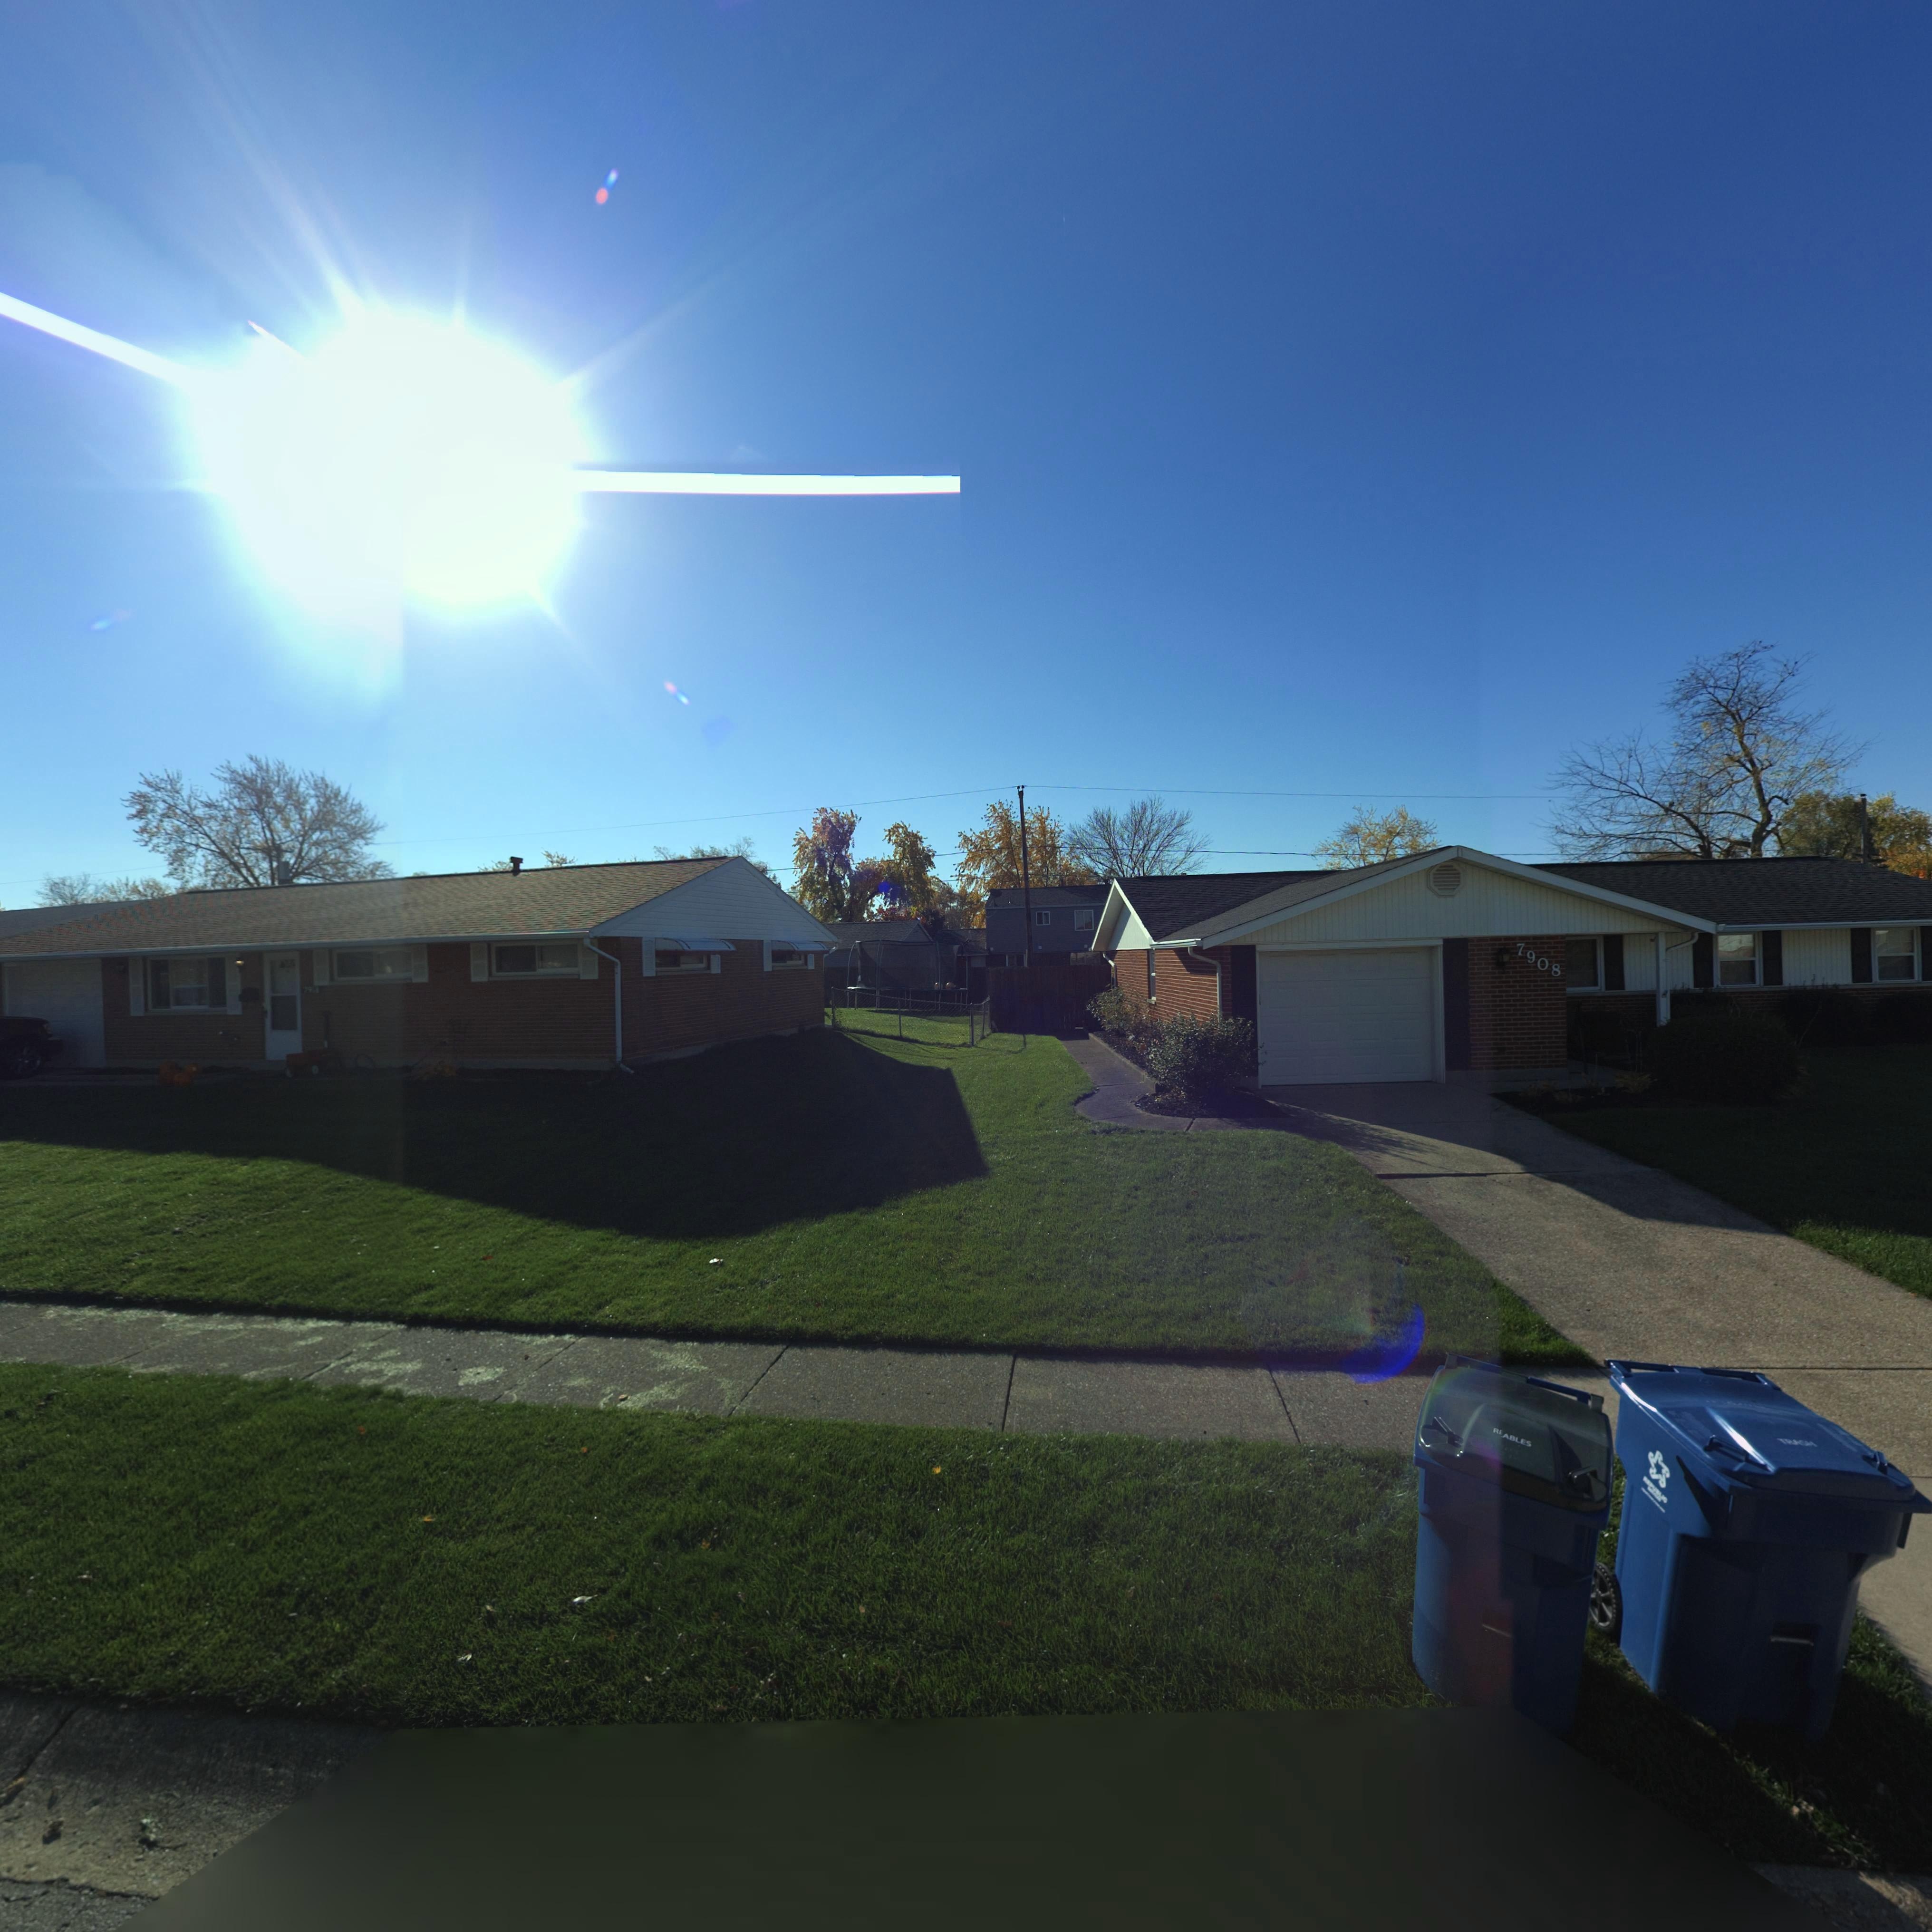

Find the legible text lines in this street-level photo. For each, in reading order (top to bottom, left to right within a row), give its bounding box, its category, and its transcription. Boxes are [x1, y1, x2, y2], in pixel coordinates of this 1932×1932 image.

[1516, 941, 1562, 979] StreetNumber: 7908